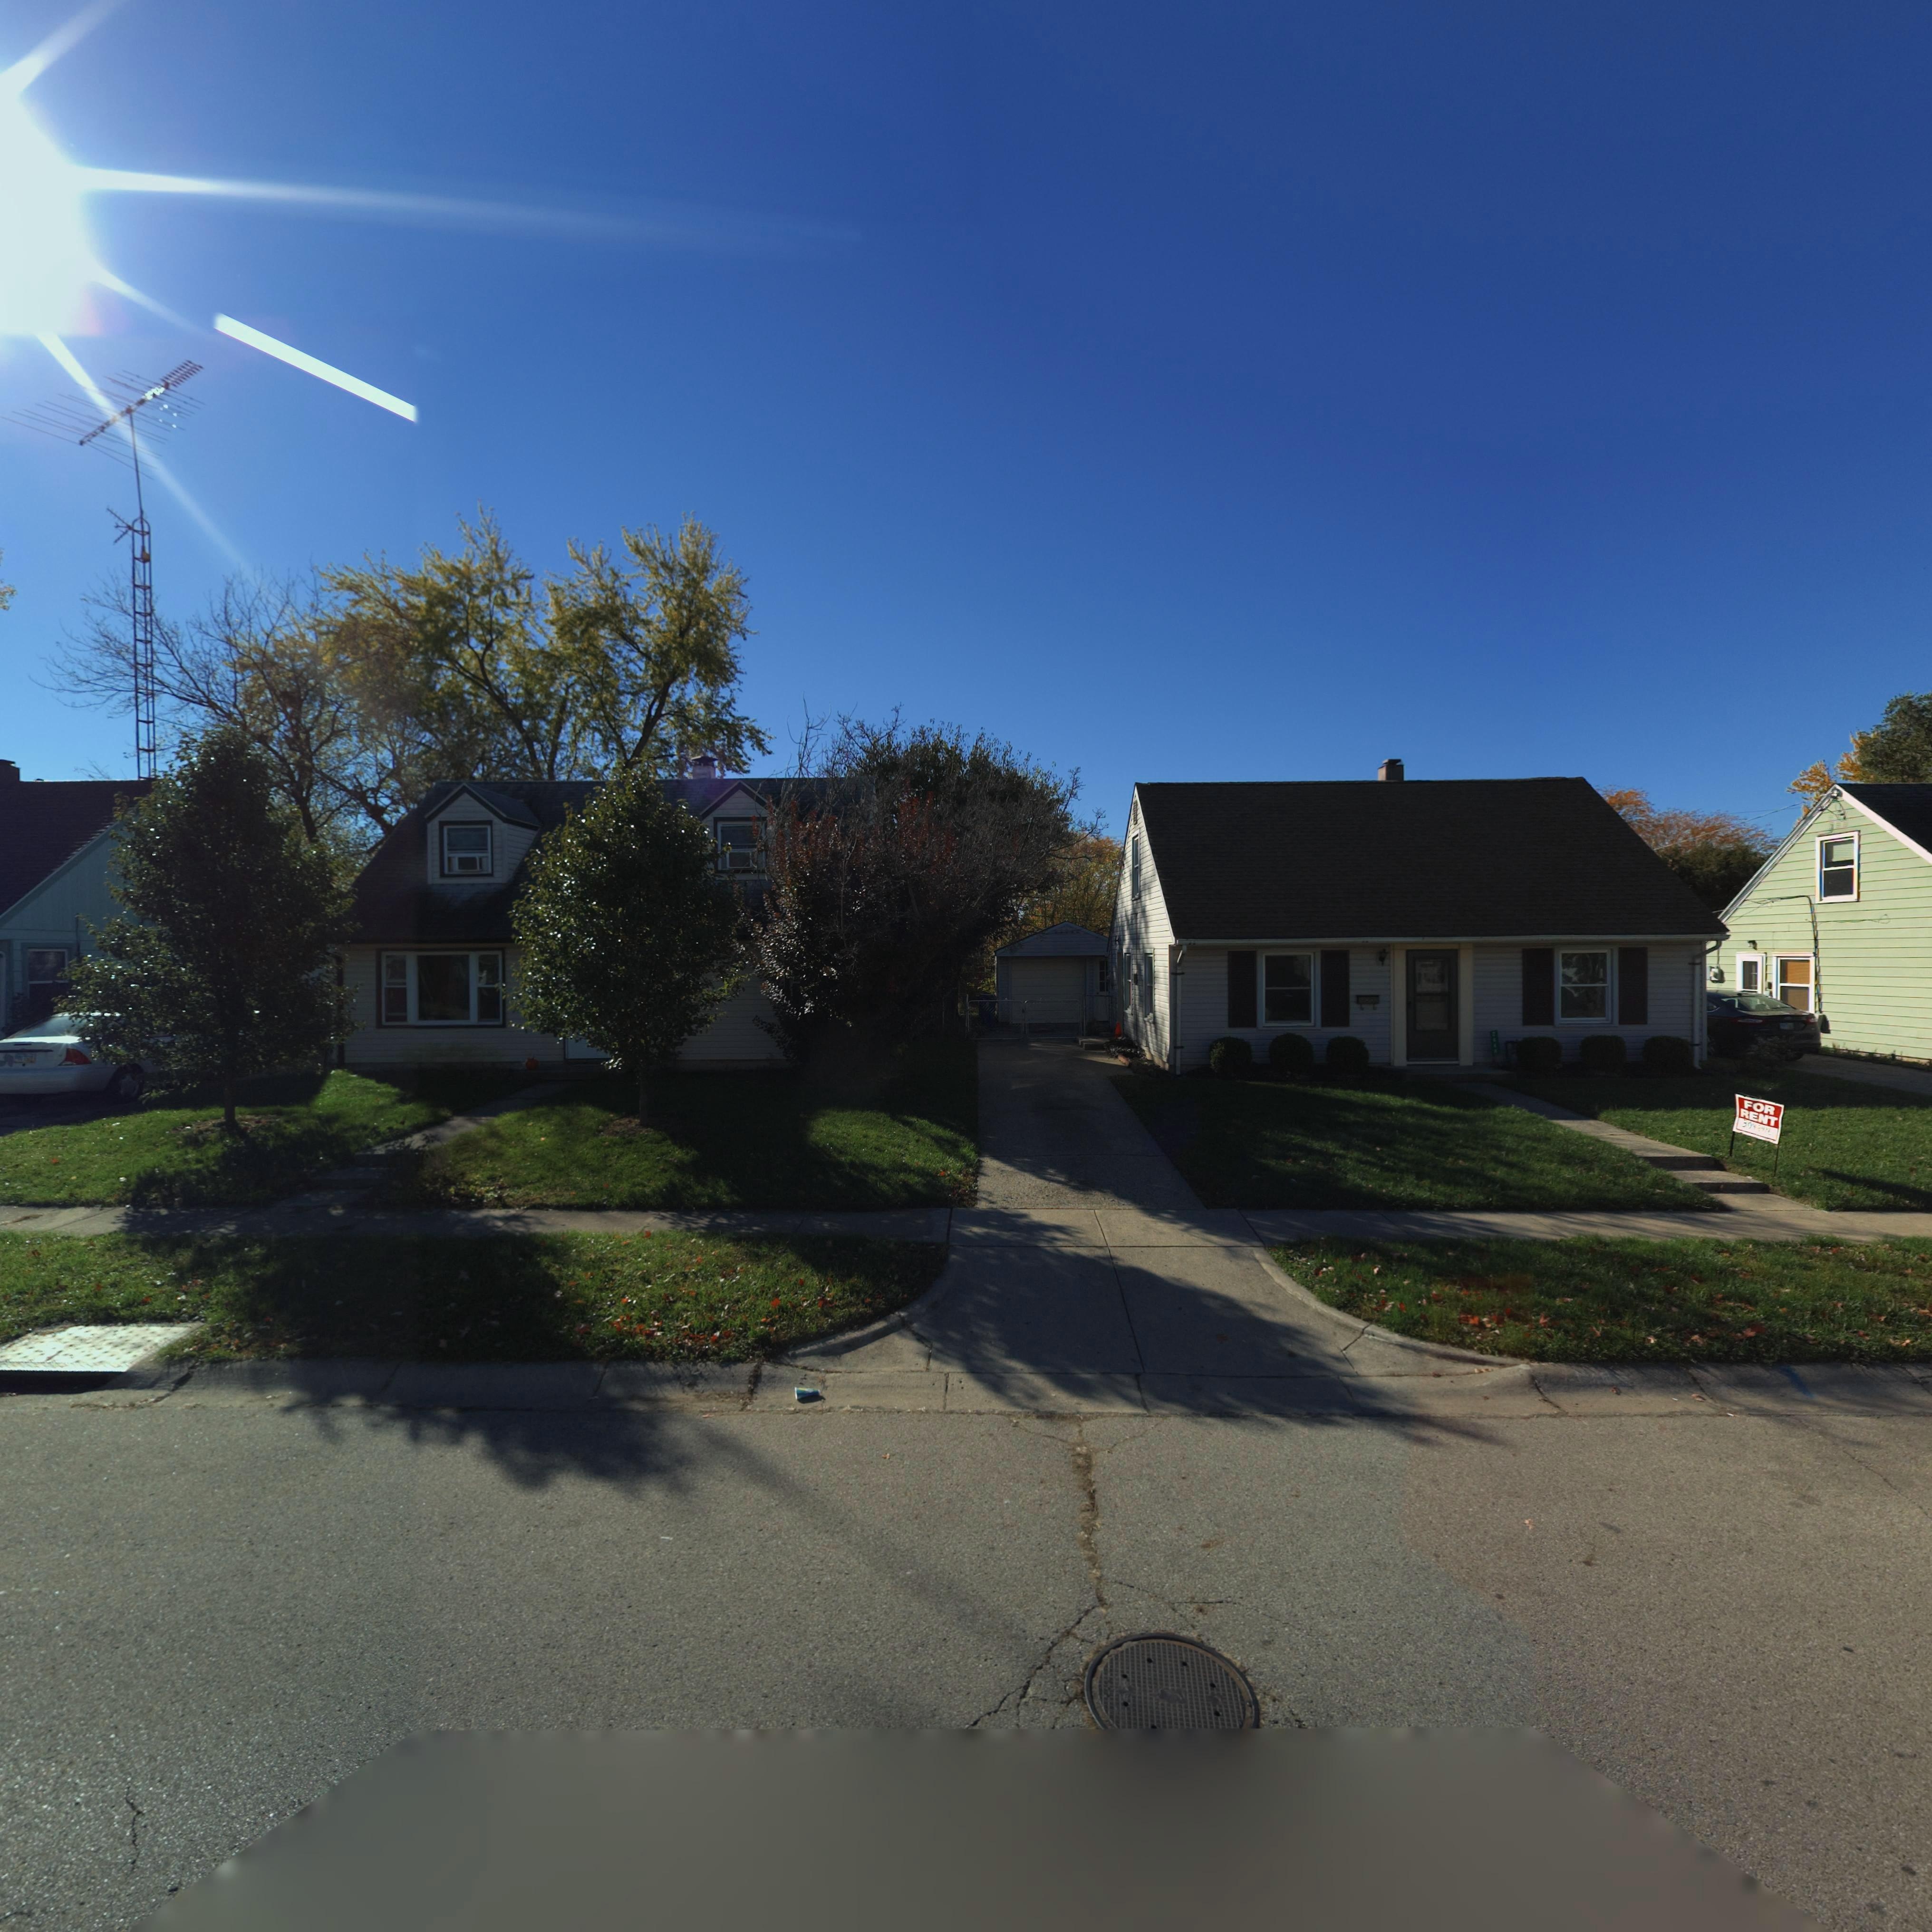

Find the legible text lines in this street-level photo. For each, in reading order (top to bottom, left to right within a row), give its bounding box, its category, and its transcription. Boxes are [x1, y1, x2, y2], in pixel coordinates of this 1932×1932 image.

[1491, 1031, 1498, 1054] StreetNumber: 2444